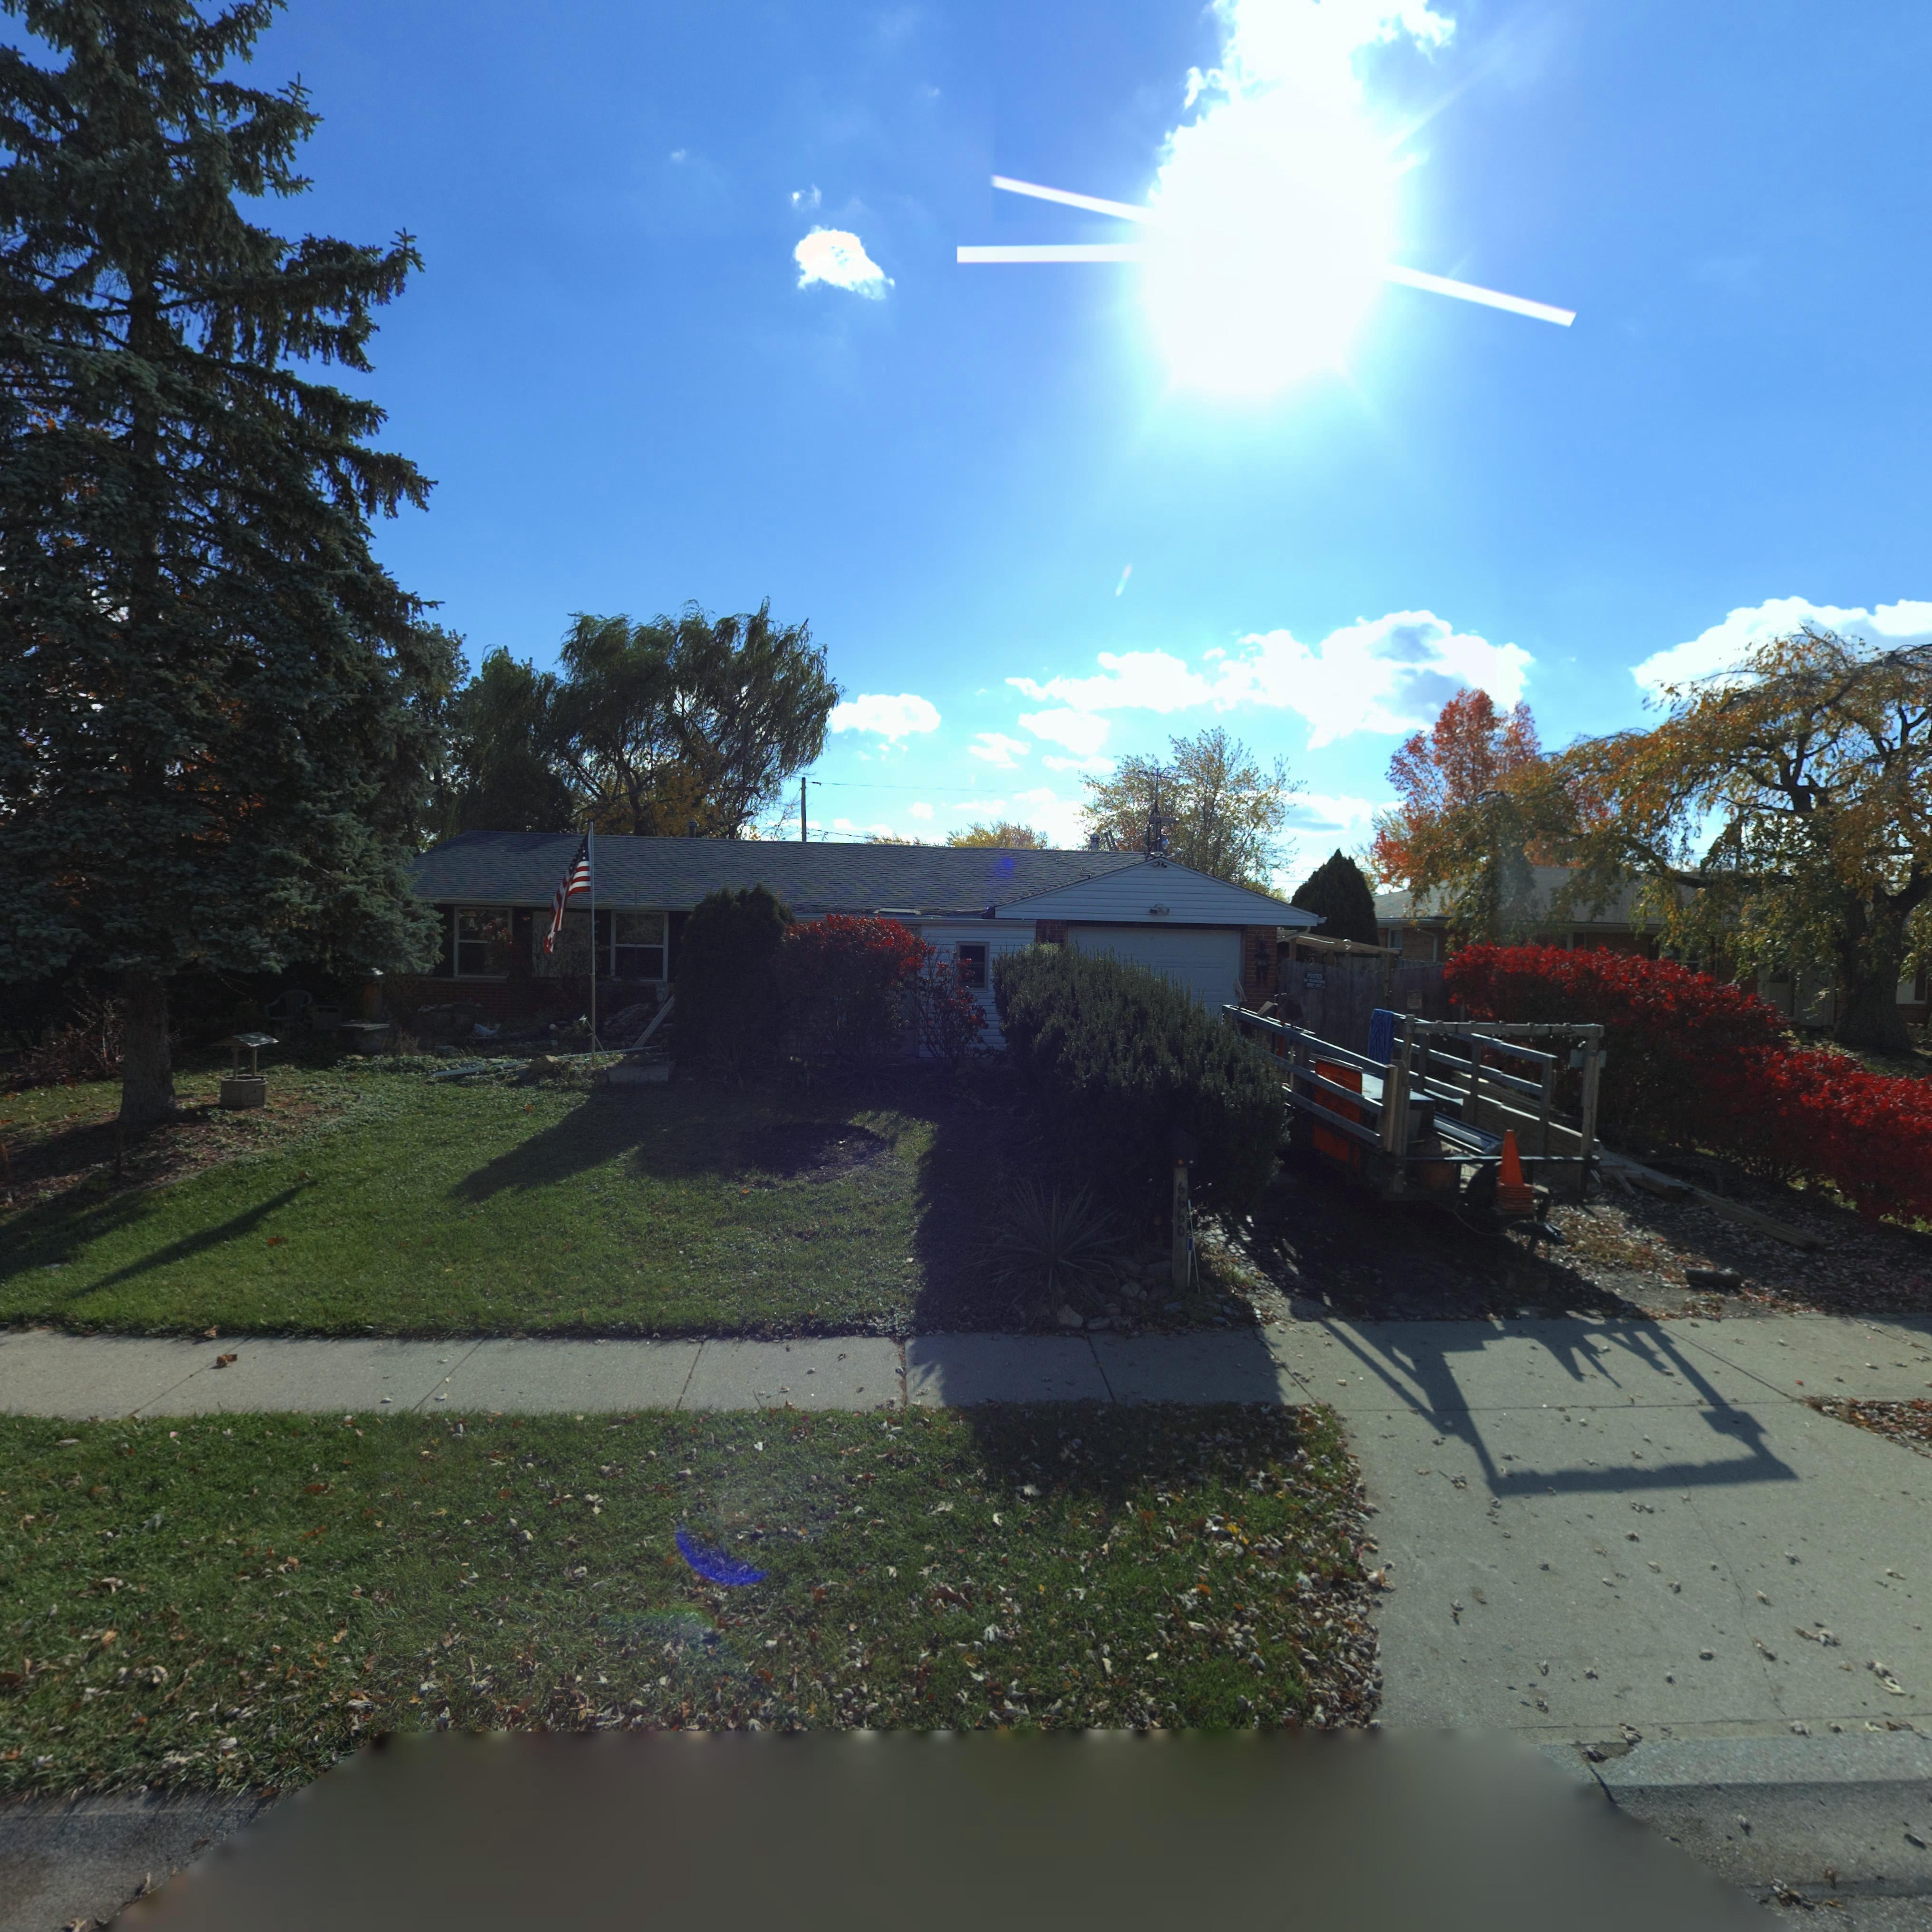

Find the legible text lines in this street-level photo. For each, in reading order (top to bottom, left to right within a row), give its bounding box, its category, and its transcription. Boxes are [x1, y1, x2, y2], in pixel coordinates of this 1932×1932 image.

[1175, 1180, 1186, 1238] StreetNumber: 6660